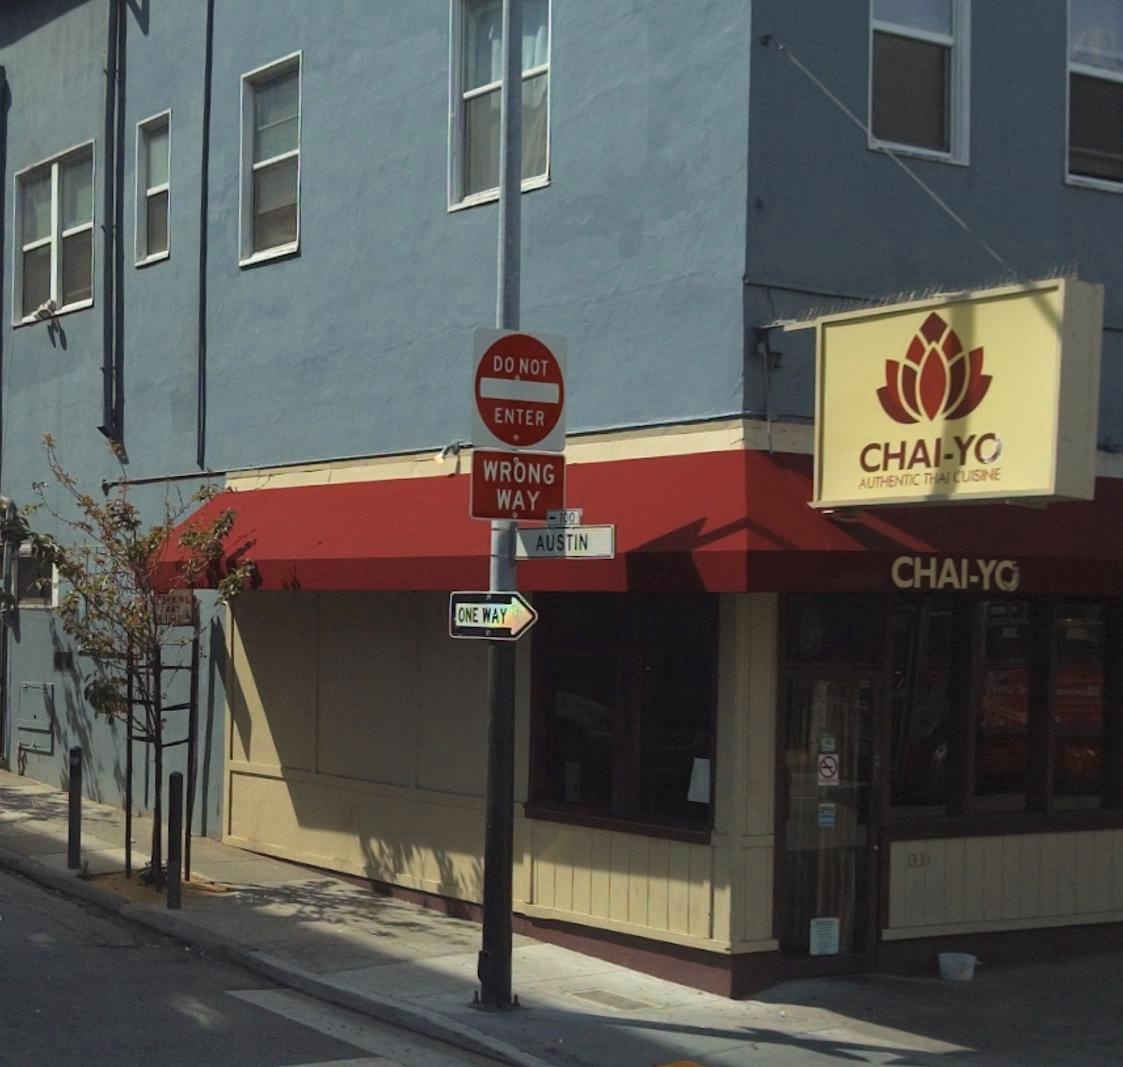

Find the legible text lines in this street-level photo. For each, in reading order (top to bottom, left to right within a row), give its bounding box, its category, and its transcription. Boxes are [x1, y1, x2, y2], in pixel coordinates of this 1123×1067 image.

[492, 352, 551, 378] None: DO NOT
[493, 405, 547, 429] None: ENTER
[857, 428, 1006, 475] BusinessName: CHAI-YO
[480, 456, 557, 488] None: WRONG
[854, 464, 1004, 492] None: AUTHENTIC THAI CUISINE
[494, 486, 544, 514] None: WAY
[547, 509, 578, 526] StreetNumberRange: <-100
[532, 532, 590, 553] StreetName: AUSTIN
[888, 552, 1023, 594] BusinessName: CHAI-Y*
[455, 605, 509, 627] None: ONE WAY
[903, 849, 934, 872] StreetNumber: *33*